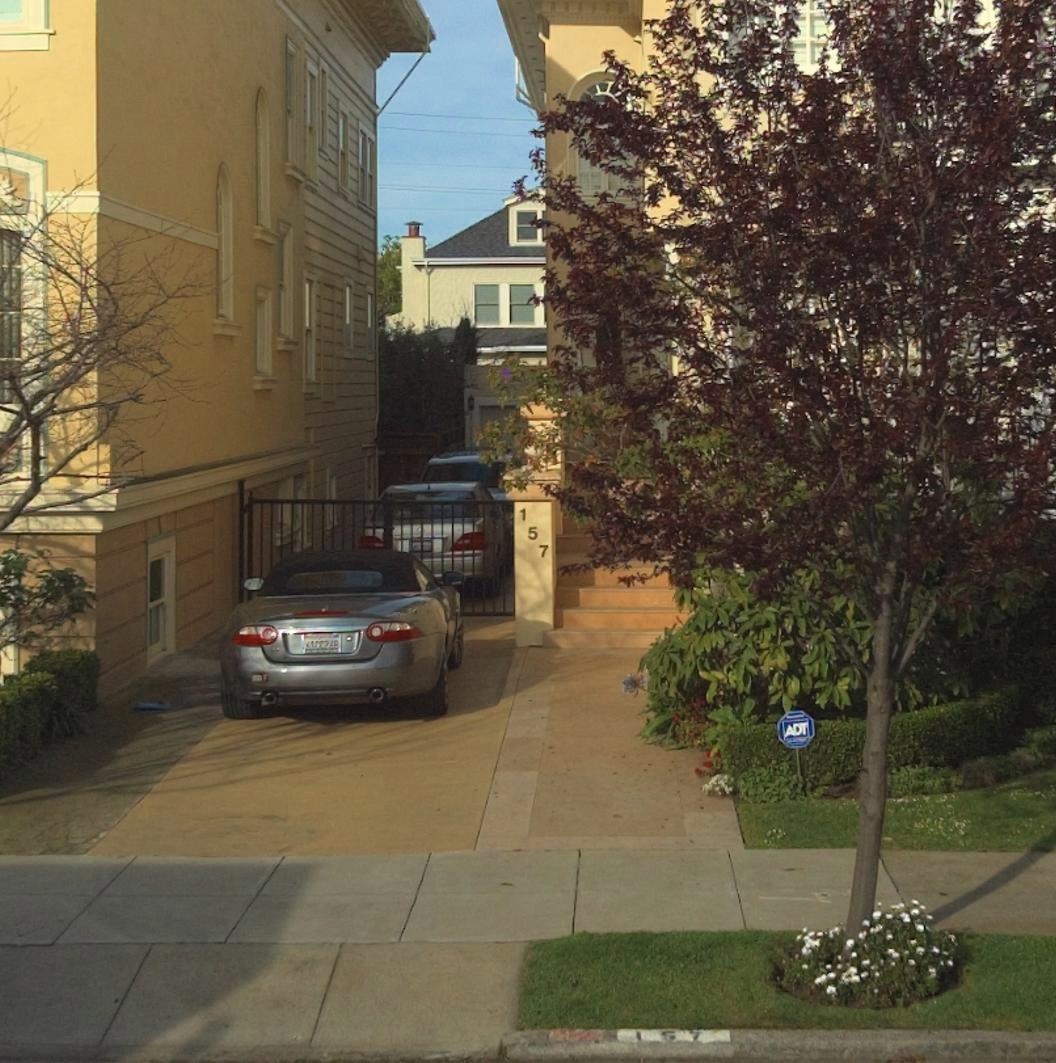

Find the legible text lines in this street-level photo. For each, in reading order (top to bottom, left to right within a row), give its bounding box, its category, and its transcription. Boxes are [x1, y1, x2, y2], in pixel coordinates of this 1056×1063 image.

[517, 505, 551, 560] StreetNumber: 157
[302, 637, 341, 654] None: **CC26*
[781, 719, 811, 741] None: ADT